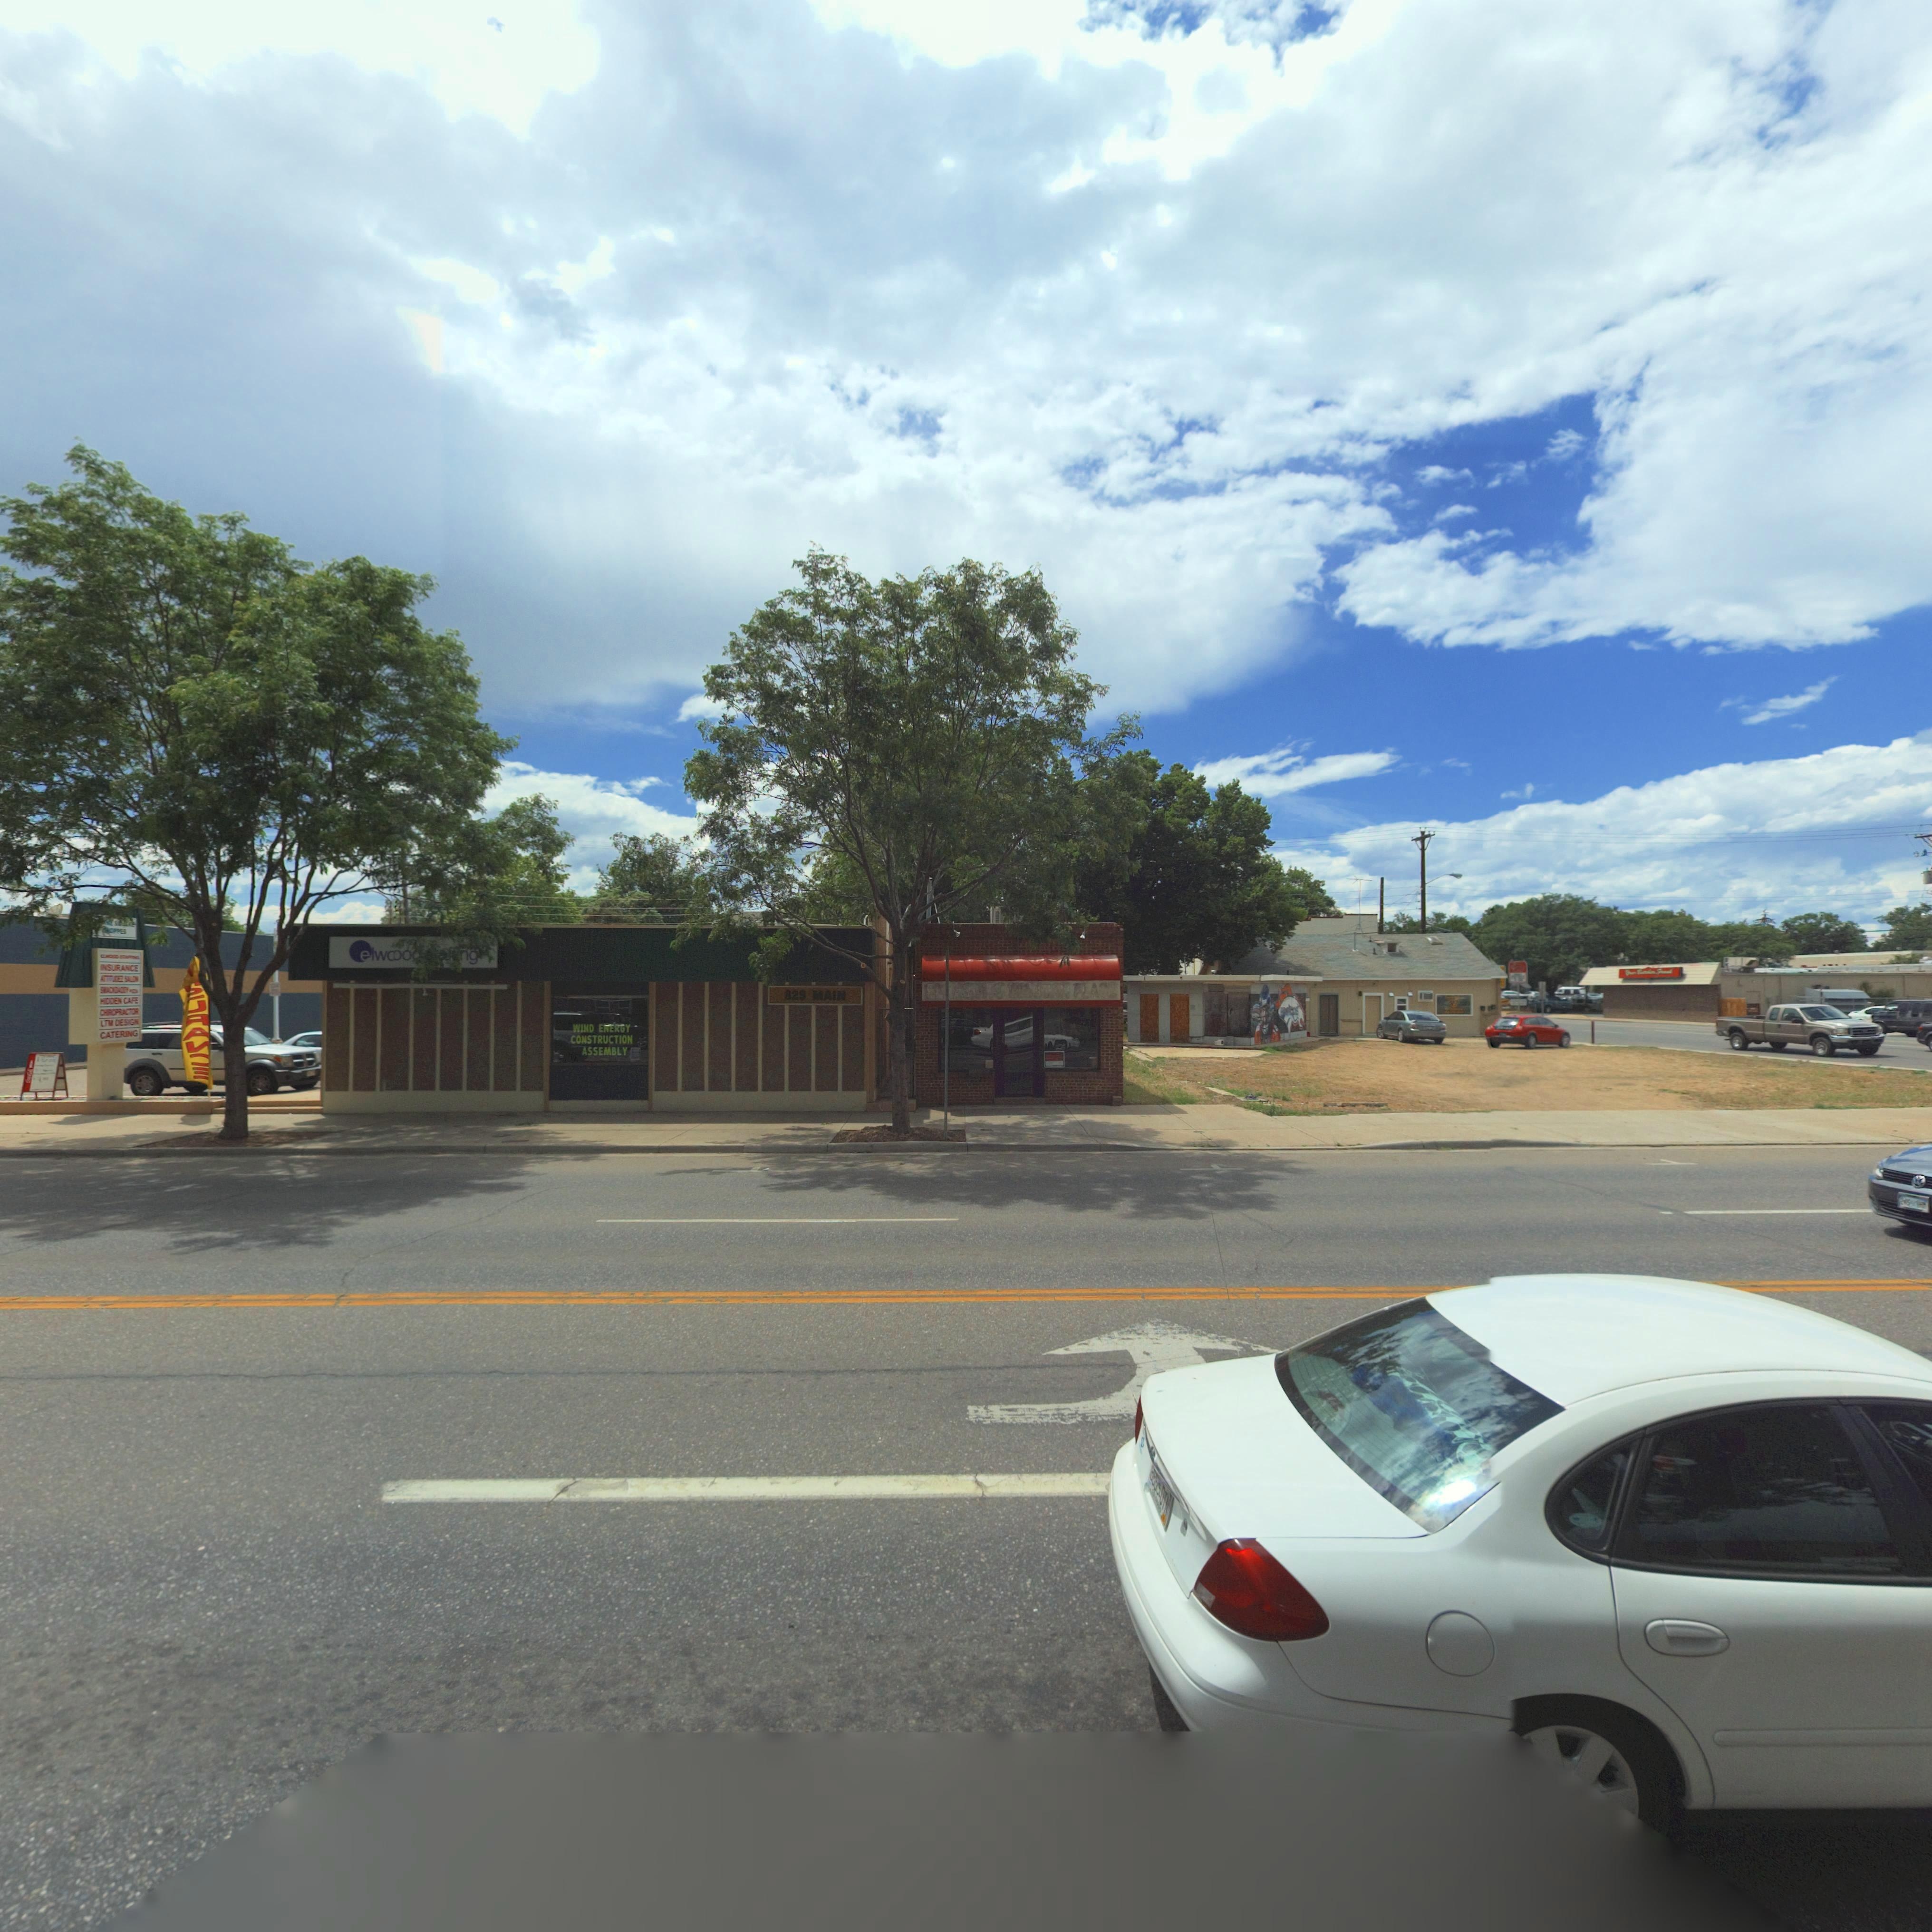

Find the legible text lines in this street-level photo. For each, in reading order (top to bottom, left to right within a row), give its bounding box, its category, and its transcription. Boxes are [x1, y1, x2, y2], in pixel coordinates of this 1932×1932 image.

[359, 946, 478, 964] BusinessName: elw*o* ******ng
[100, 975, 139, 982] BusinessName: ATTITUDE SALON
[100, 986, 129, 994] BusinessName: SNACKDADDY
[783, 989, 806, 1000] None: 829
[100, 996, 138, 1004] BusinessName: HIDDEN CAFE
[100, 1018, 139, 1027] BusinessName: LTM DESIGN